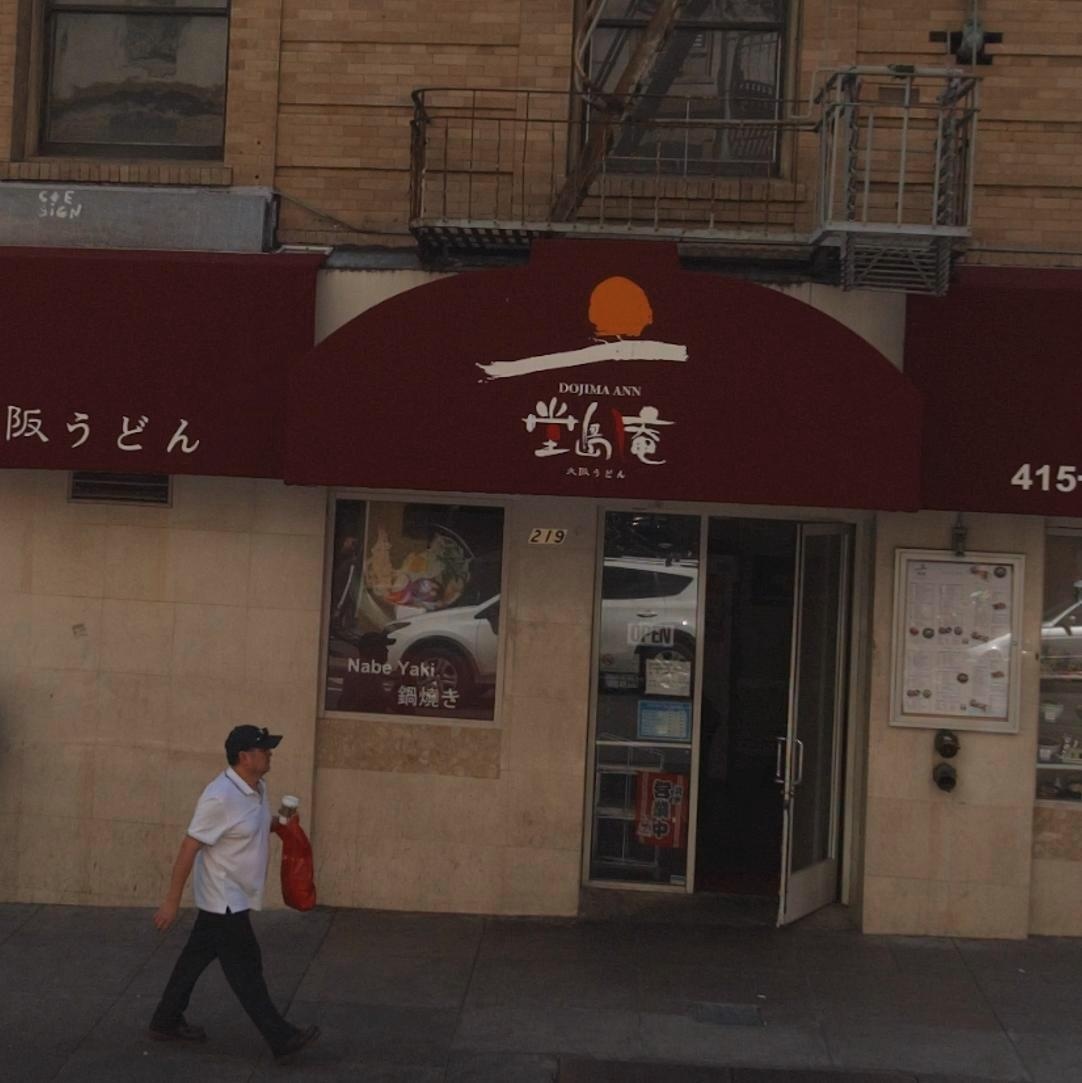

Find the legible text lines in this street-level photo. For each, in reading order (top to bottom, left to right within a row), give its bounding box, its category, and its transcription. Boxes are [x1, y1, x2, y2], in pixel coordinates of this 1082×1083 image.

[62, 189, 75, 206] None: E
[49, 202, 83, 220] None: iGN
[558, 381, 642, 398] BusinessName: DOJIMA ANN
[1009, 462, 1077, 492] None: 415
[527, 528, 568, 544] StreetNumber: 219
[630, 623, 672, 645] None: OPEN
[346, 657, 435, 678] None: Nabe Yaki